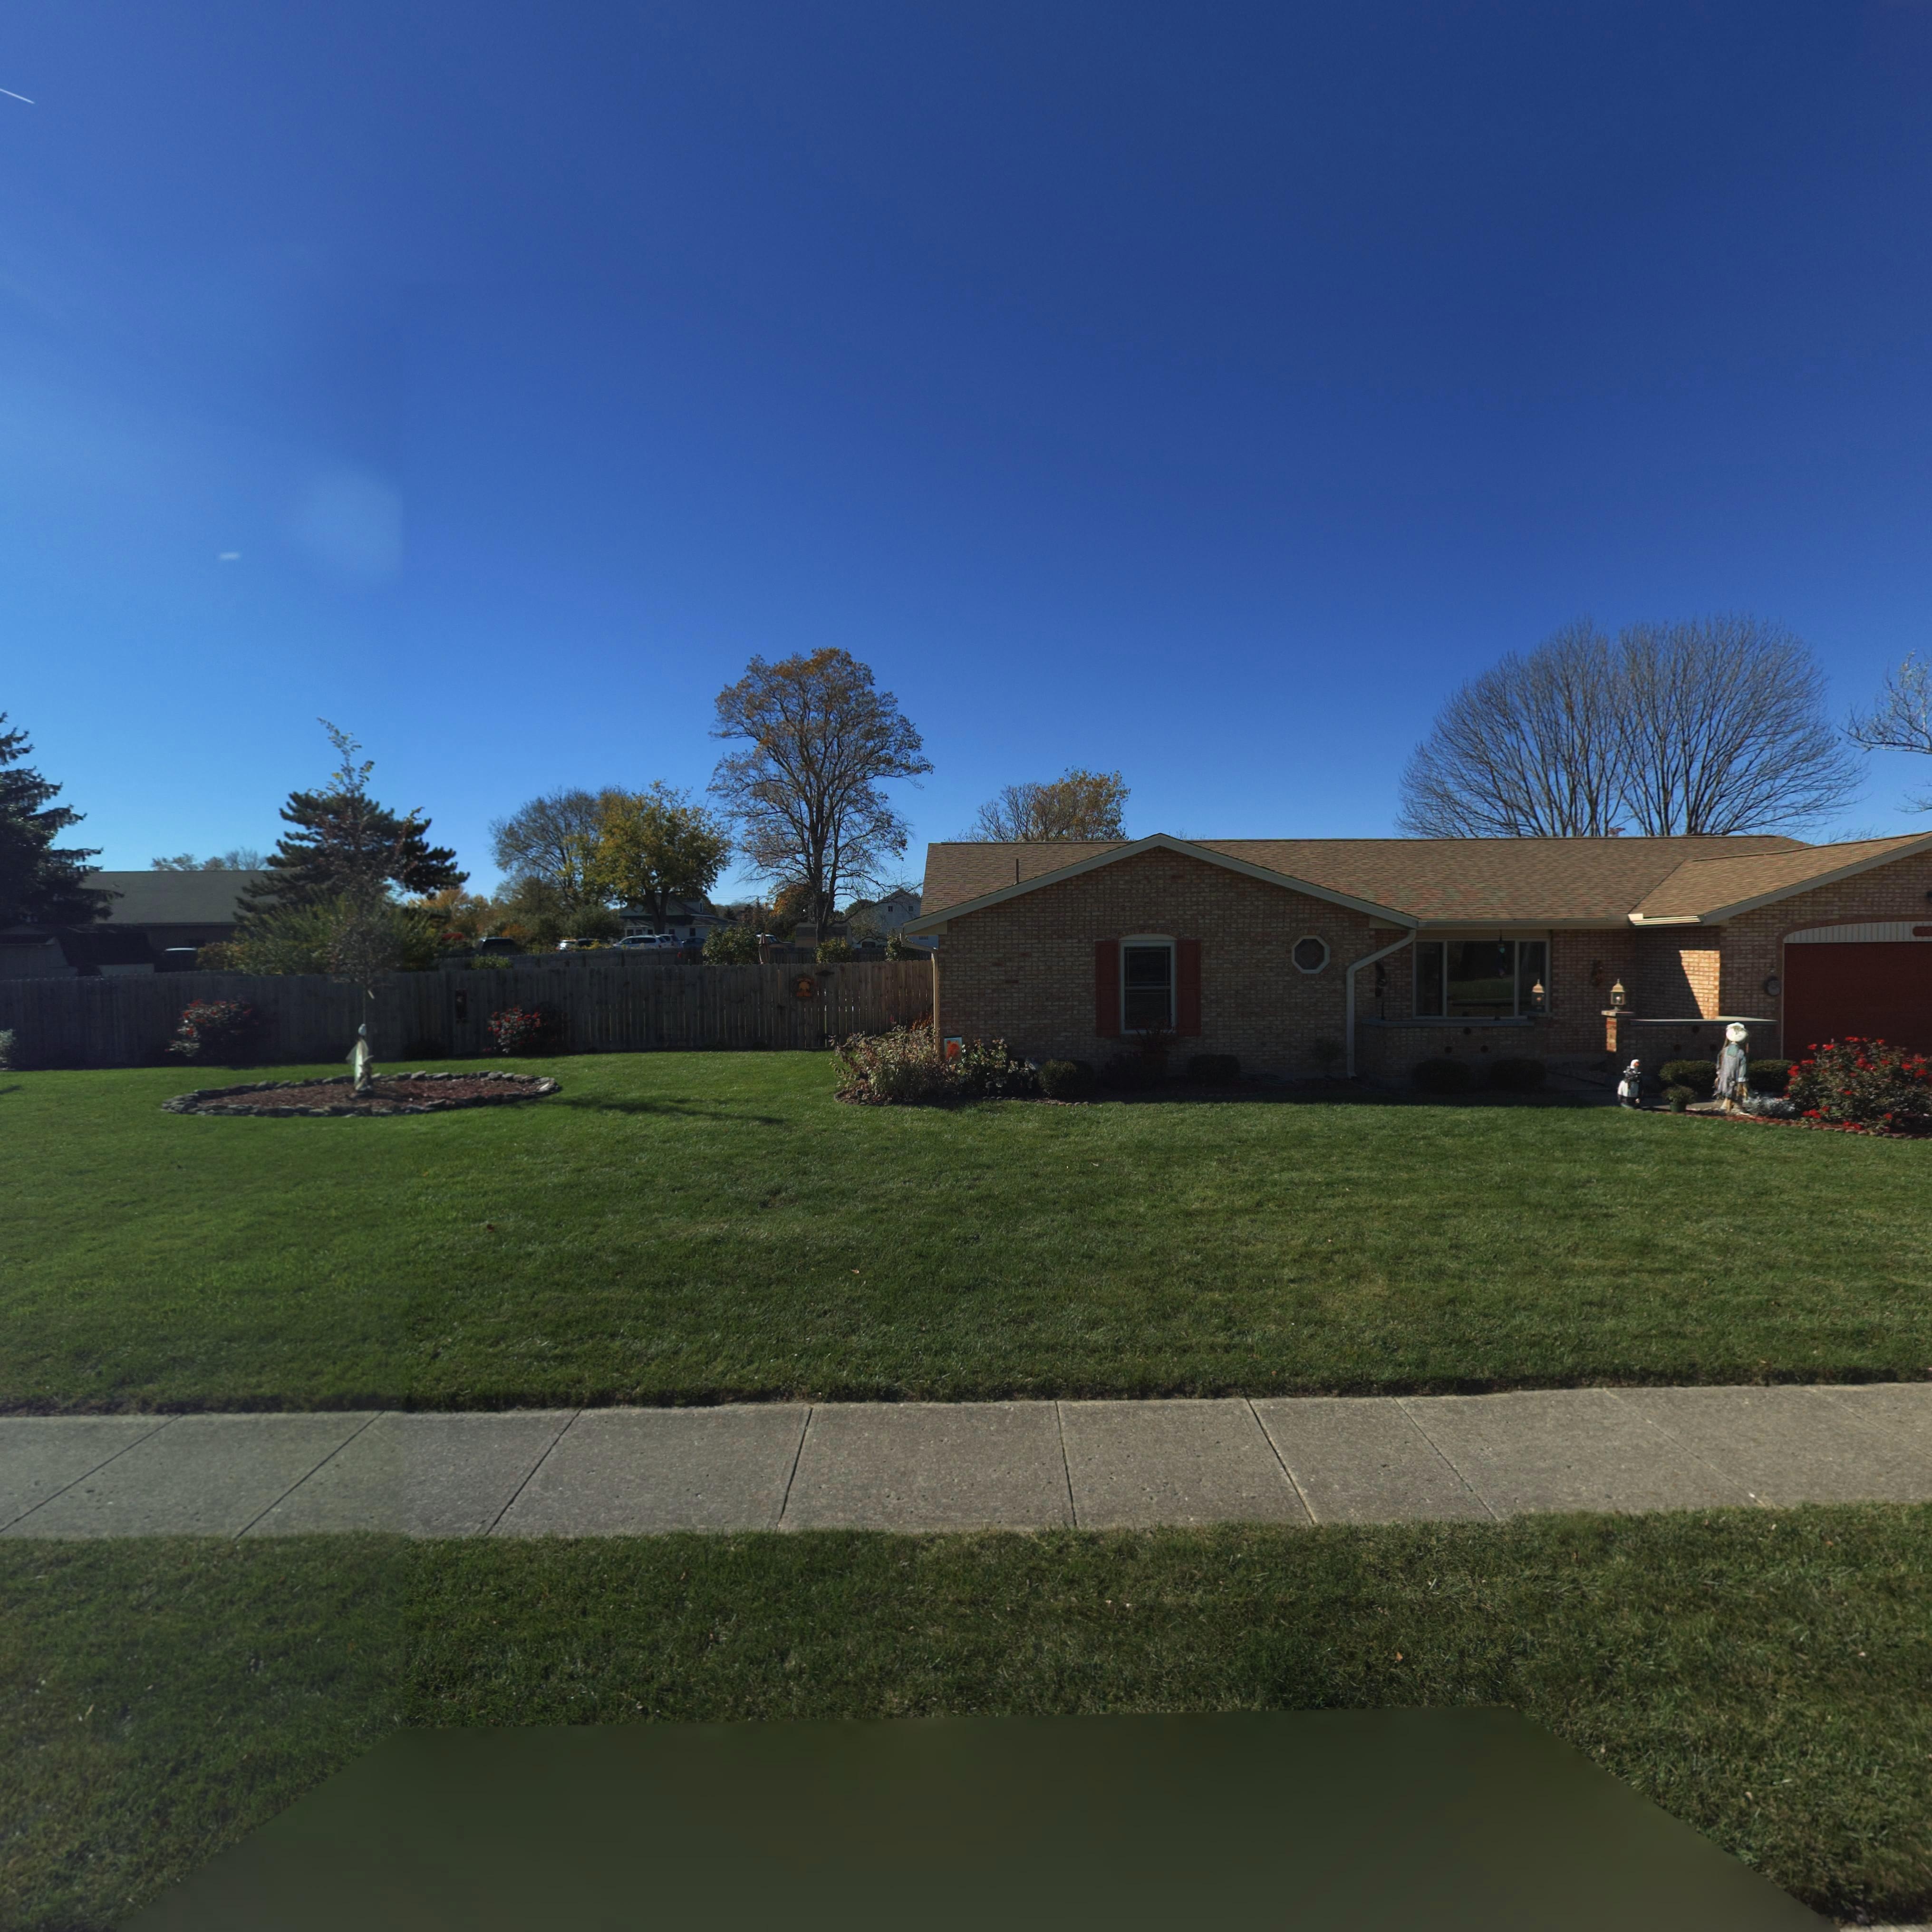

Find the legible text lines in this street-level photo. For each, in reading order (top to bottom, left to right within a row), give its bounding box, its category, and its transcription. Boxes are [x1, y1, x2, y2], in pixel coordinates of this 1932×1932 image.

[1917, 927, 1931, 936] StreetNumber: 44